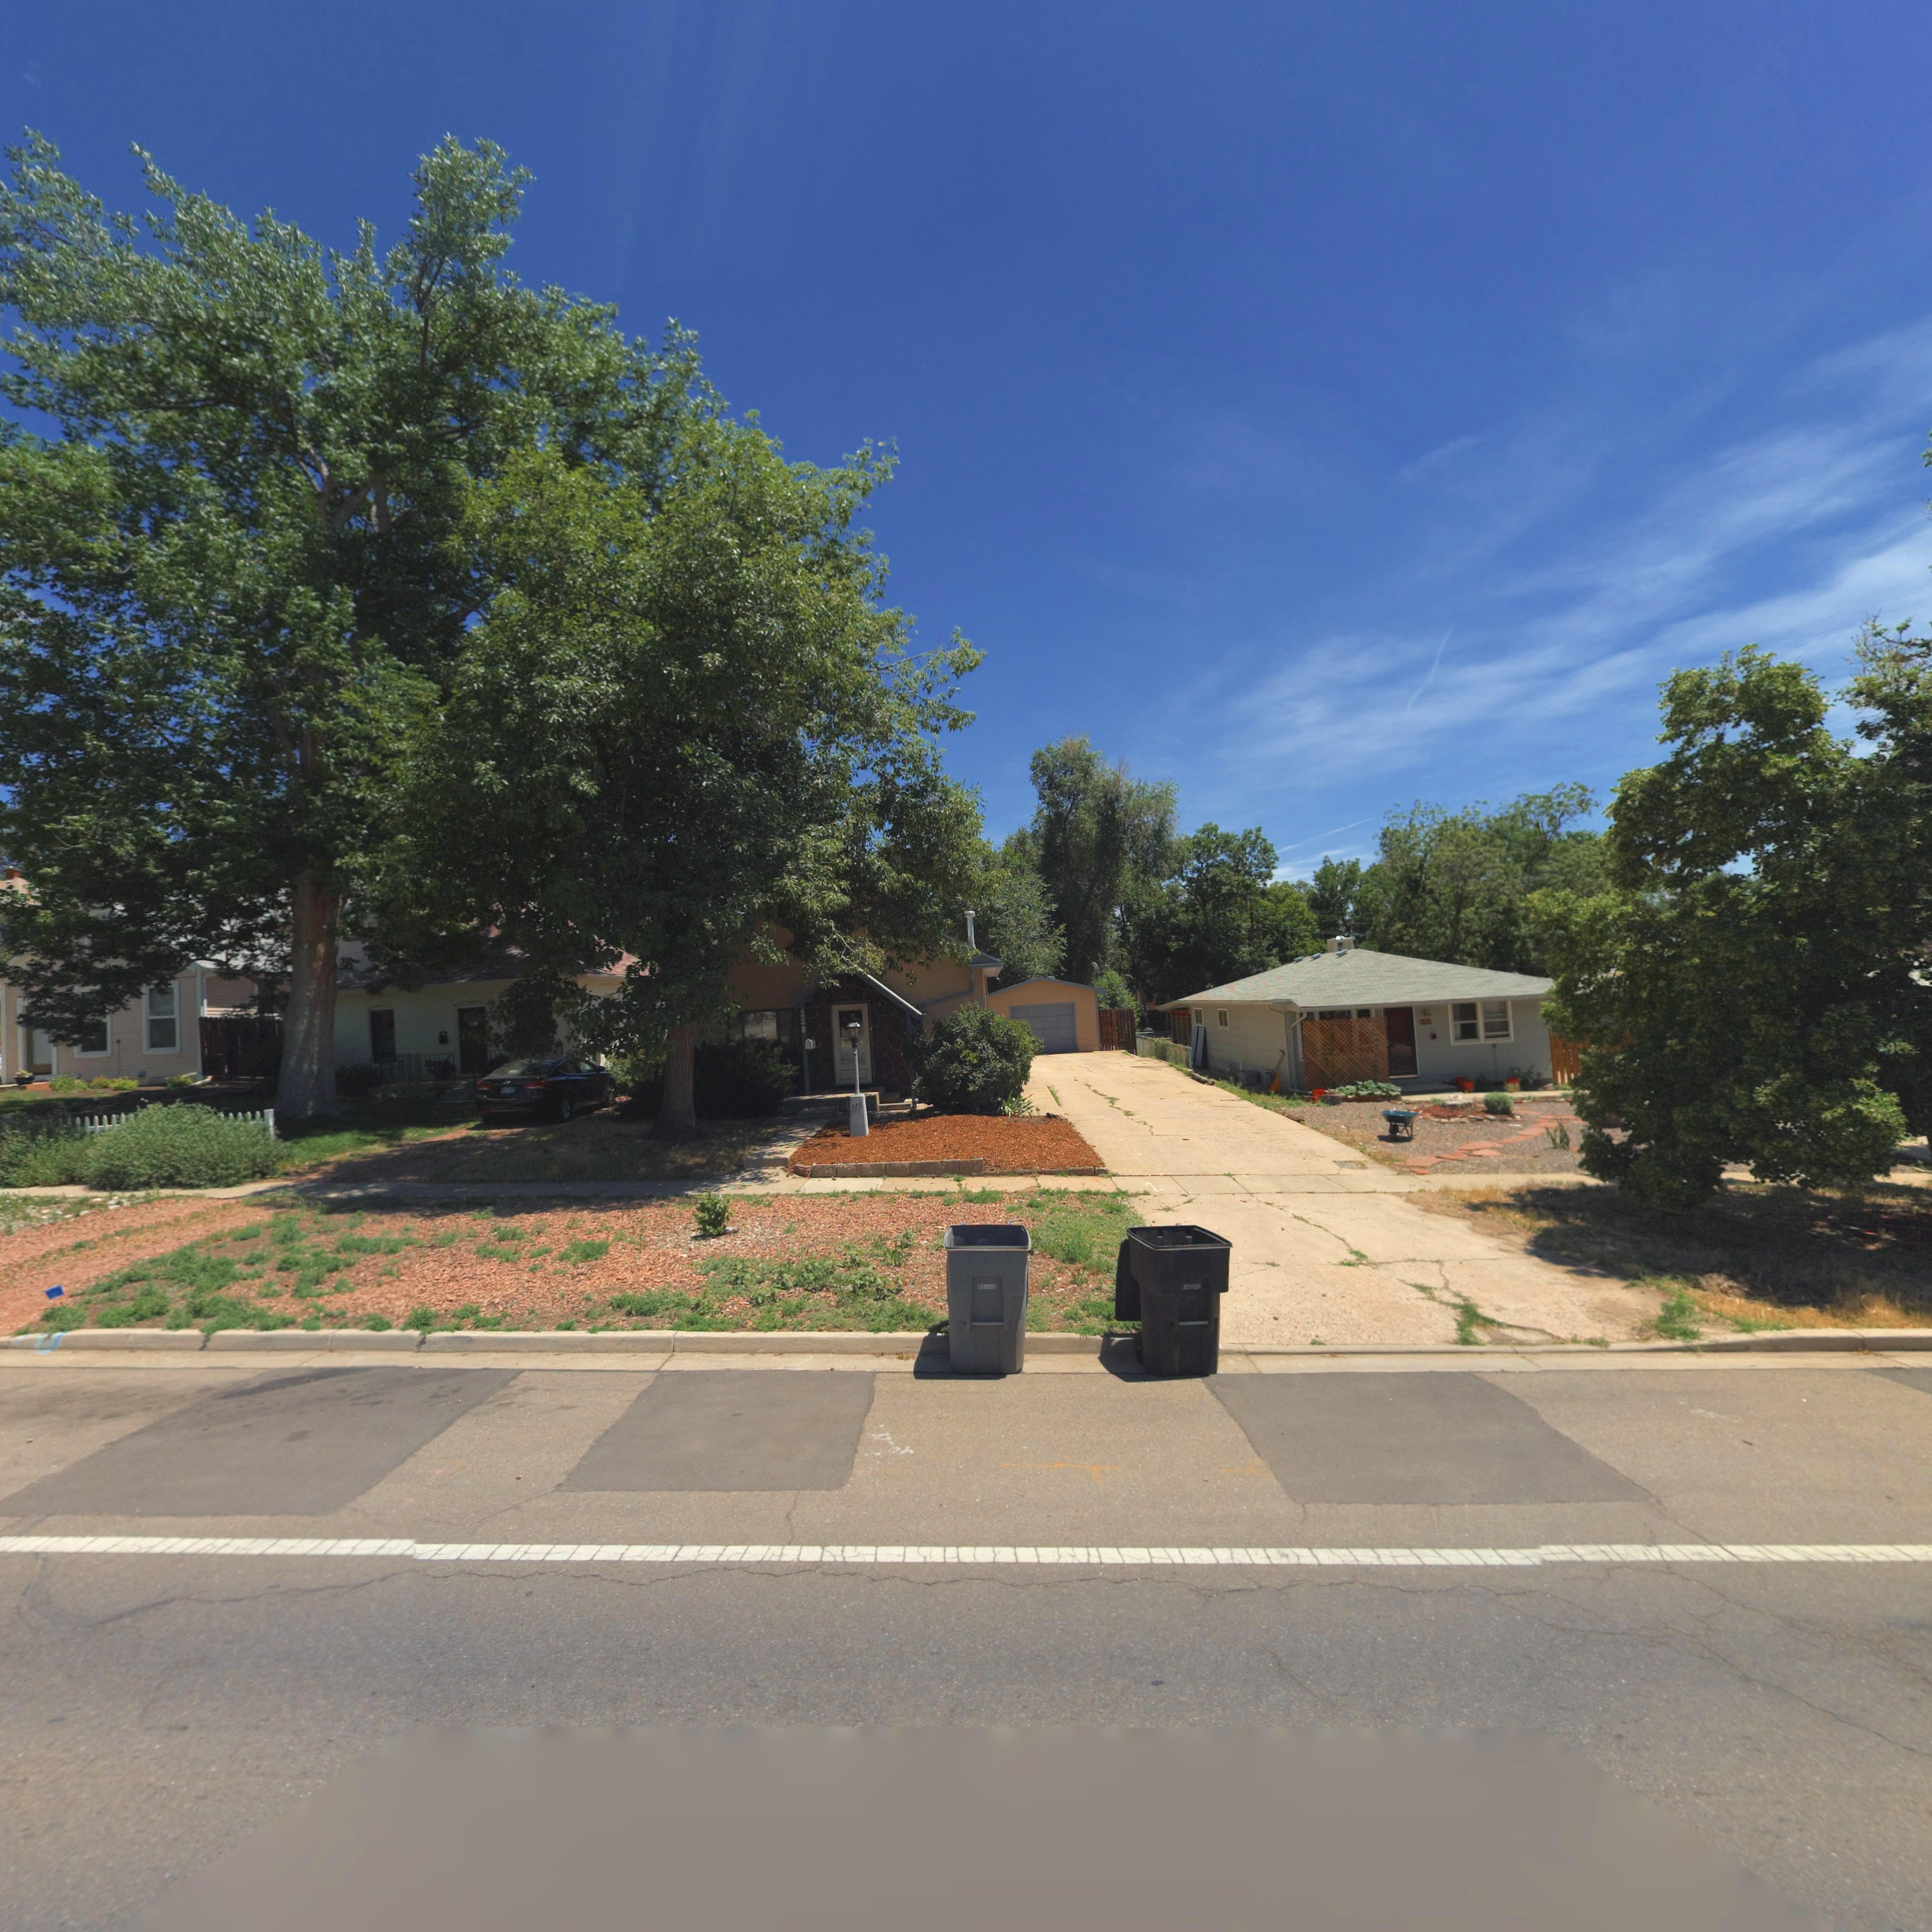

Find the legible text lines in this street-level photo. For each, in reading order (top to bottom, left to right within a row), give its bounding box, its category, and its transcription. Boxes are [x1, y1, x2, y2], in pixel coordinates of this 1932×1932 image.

[465, 1001, 476, 1007] StreetNumber: 2**
[800, 1009, 806, 1033] BusinessName: 228
[851, 1101, 861, 1109] StreetNumber: 228